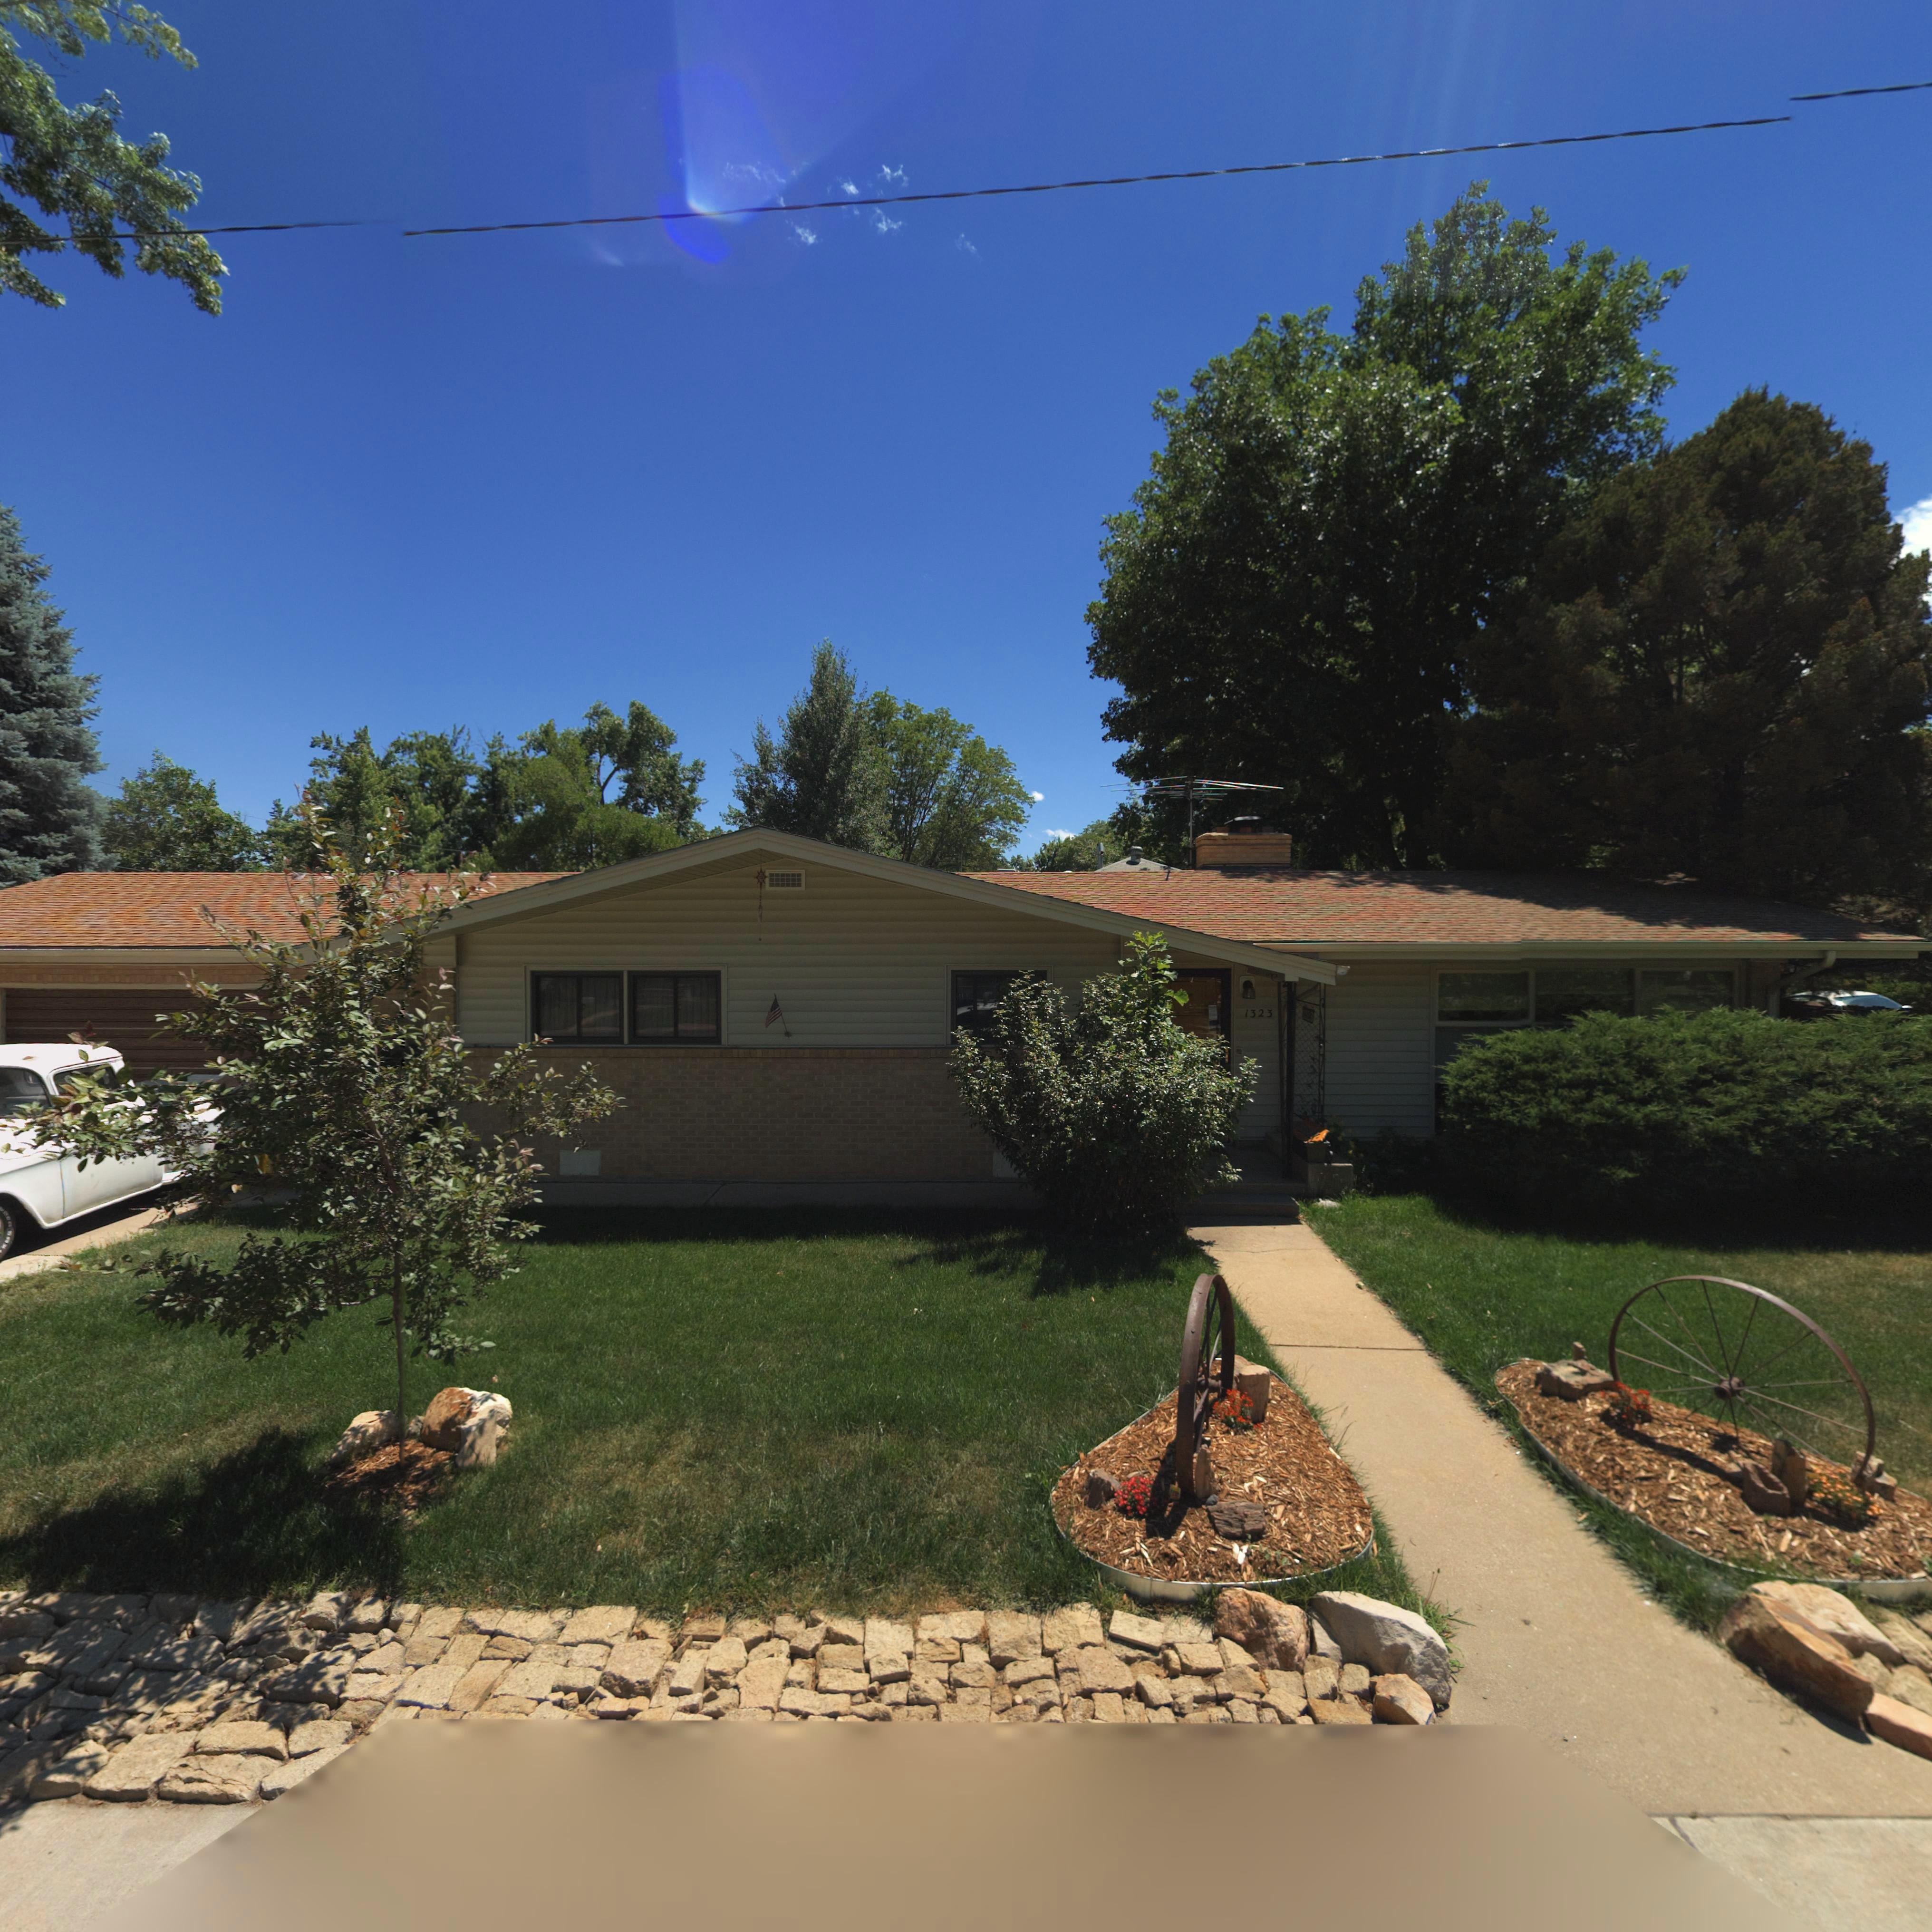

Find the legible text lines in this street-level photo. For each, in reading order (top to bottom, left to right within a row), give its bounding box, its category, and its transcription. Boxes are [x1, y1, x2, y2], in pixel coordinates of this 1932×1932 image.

[1244, 1008, 1272, 1018] StreetNumber: 1323